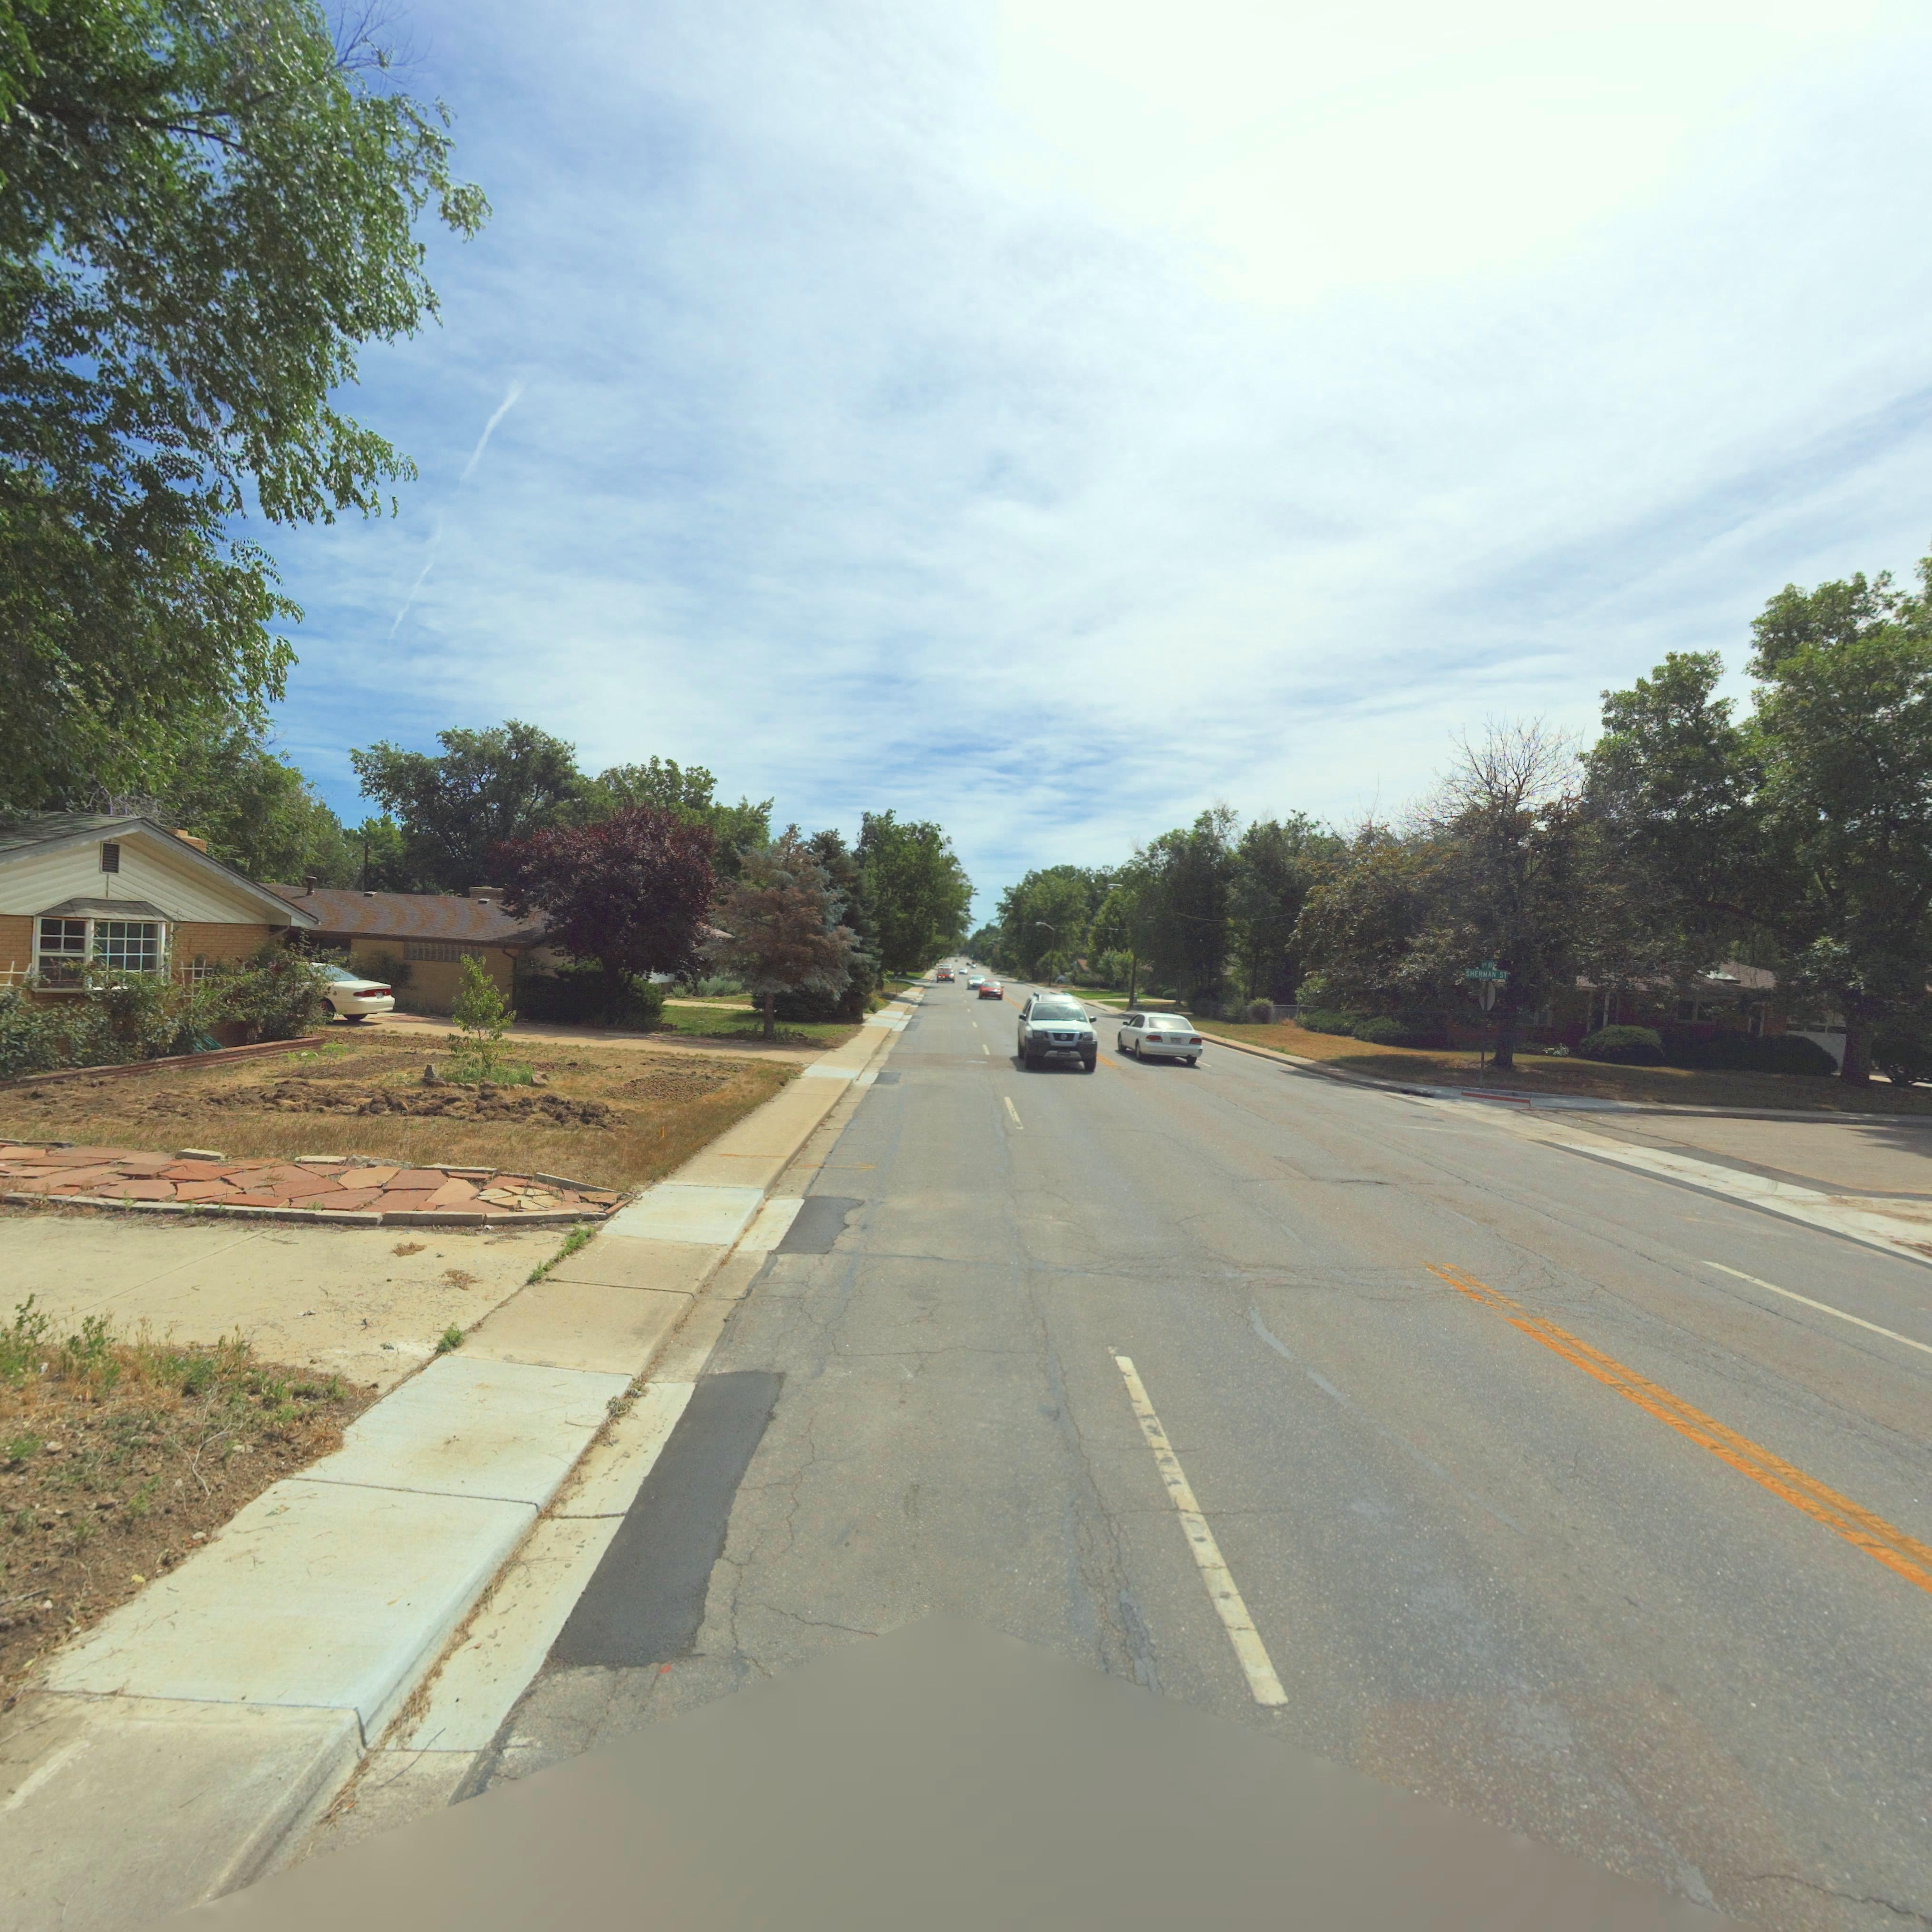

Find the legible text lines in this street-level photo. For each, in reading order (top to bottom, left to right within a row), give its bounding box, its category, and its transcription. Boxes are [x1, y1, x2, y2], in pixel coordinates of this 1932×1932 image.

[1481, 961, 1492, 969] StreetName: 9* A*
[1466, 969, 1507, 978] StreetName: SHERMAN ST